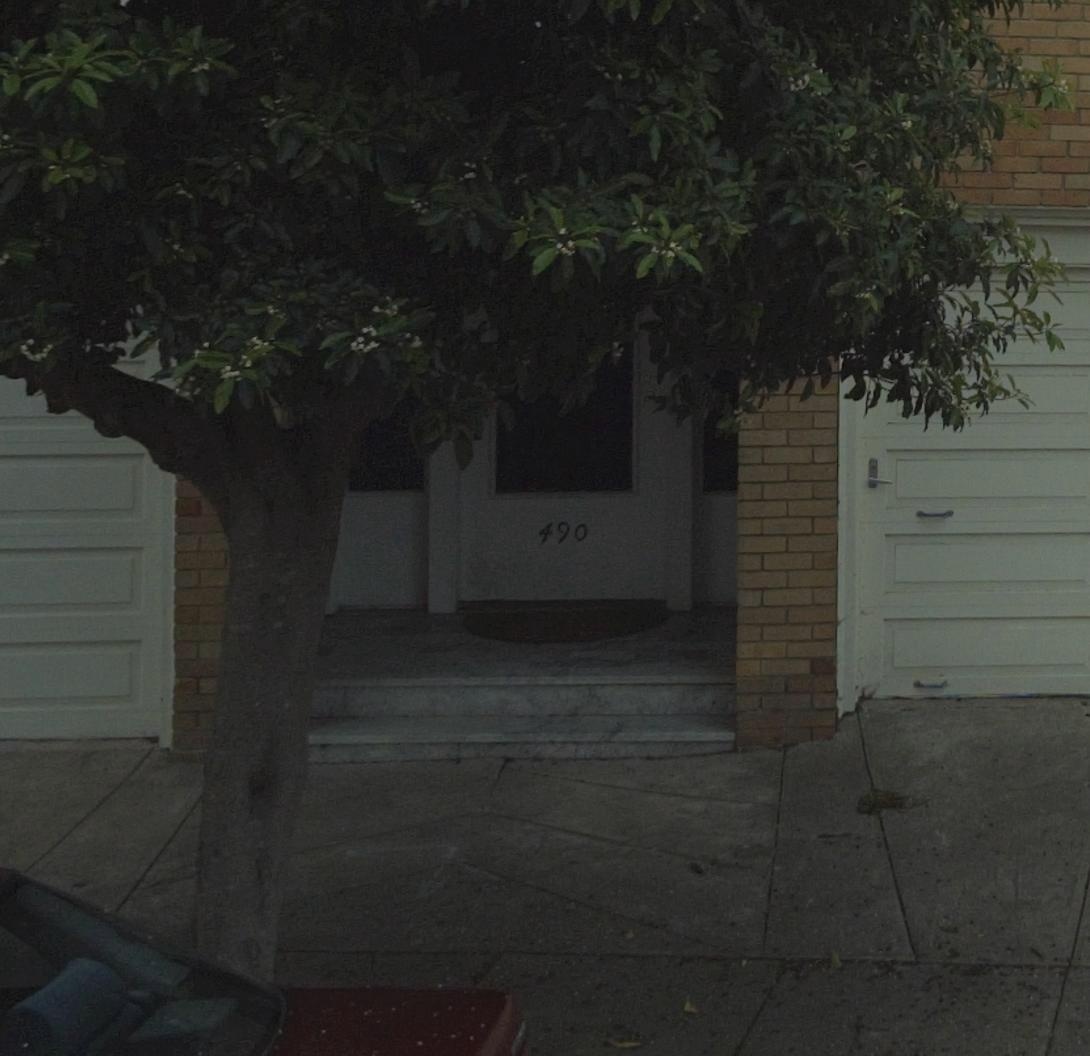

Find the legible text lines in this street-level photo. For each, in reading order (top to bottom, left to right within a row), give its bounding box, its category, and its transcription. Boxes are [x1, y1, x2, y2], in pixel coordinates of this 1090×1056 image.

[536, 520, 590, 546] StreetNumber: 490